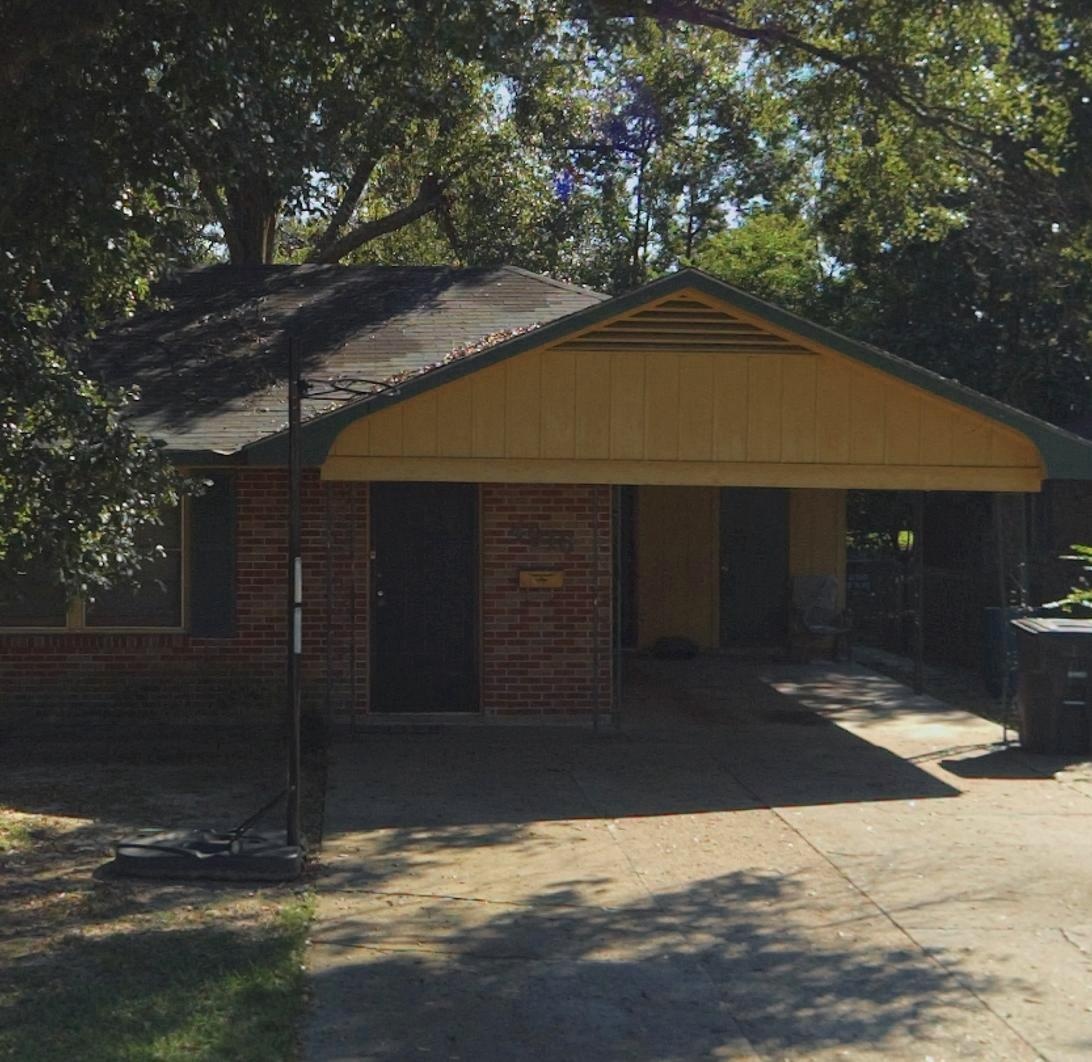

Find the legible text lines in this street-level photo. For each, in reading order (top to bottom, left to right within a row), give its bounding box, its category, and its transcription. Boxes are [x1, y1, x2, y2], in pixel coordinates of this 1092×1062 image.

[506, 518, 575, 554] StreetNumber: 4916